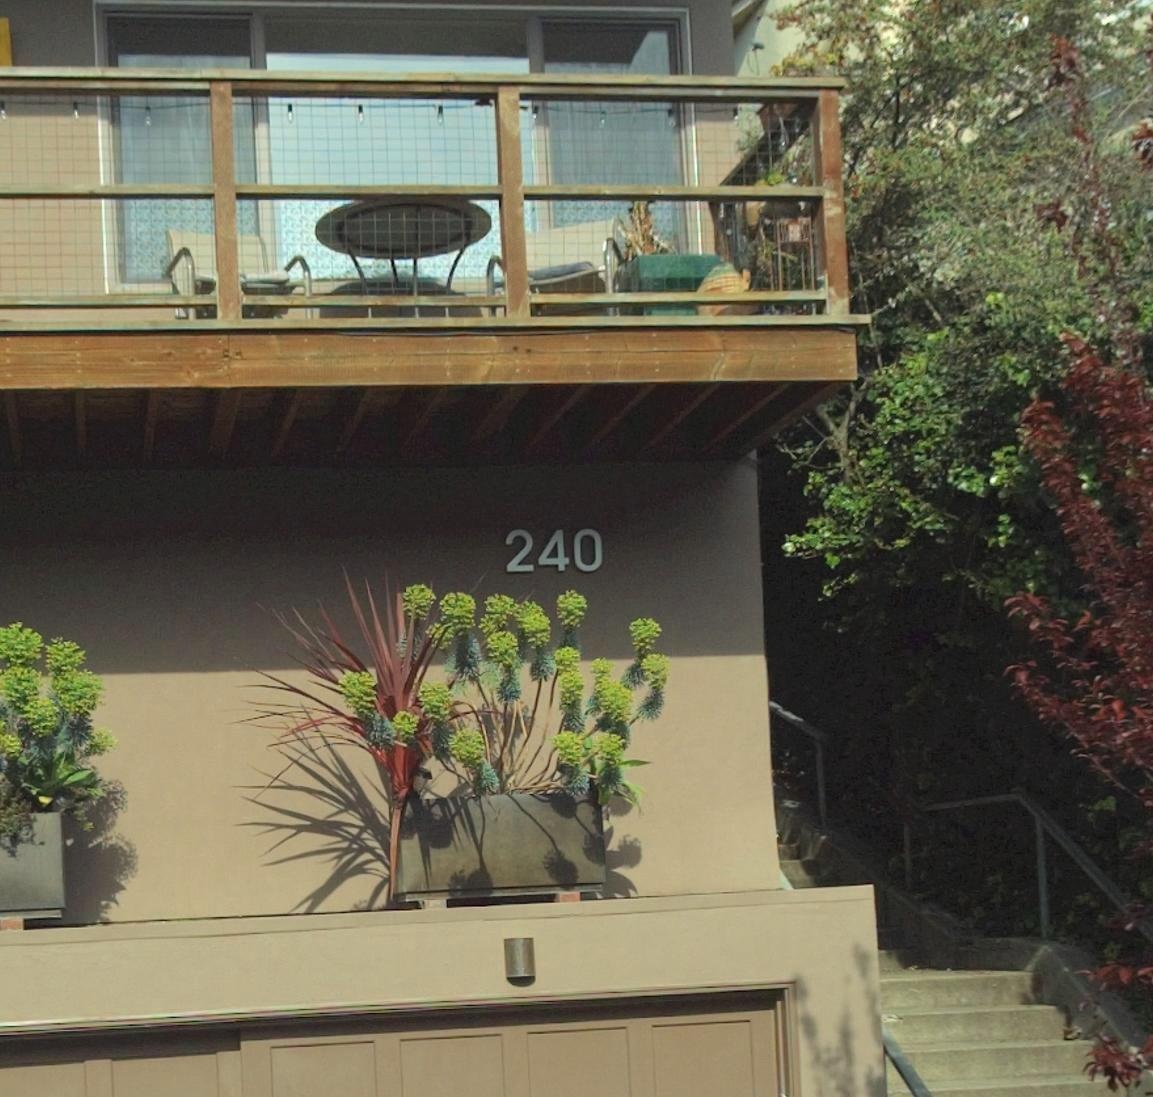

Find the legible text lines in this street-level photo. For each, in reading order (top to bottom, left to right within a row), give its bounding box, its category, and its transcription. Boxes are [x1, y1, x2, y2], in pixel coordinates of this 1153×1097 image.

[503, 527, 604, 574] StreetNumber: 240